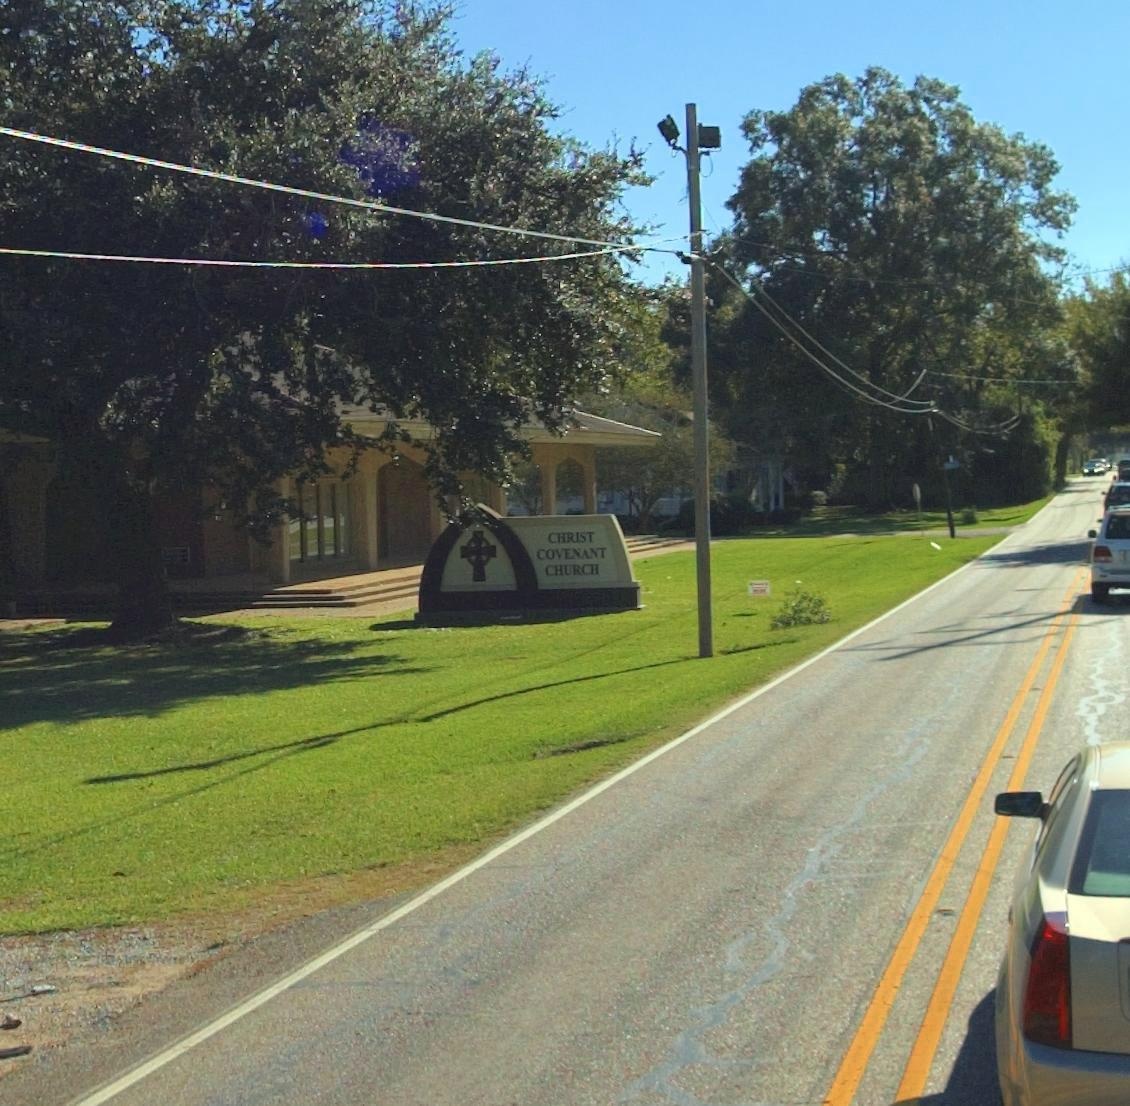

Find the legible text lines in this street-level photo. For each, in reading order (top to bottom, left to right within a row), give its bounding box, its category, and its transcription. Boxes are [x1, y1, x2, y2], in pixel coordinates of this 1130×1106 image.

[547, 530, 596, 544] BusinessName: CHRIST
[535, 546, 609, 561] BusinessName: COVENANT
[544, 562, 600, 579] BusinessName: CHURCH